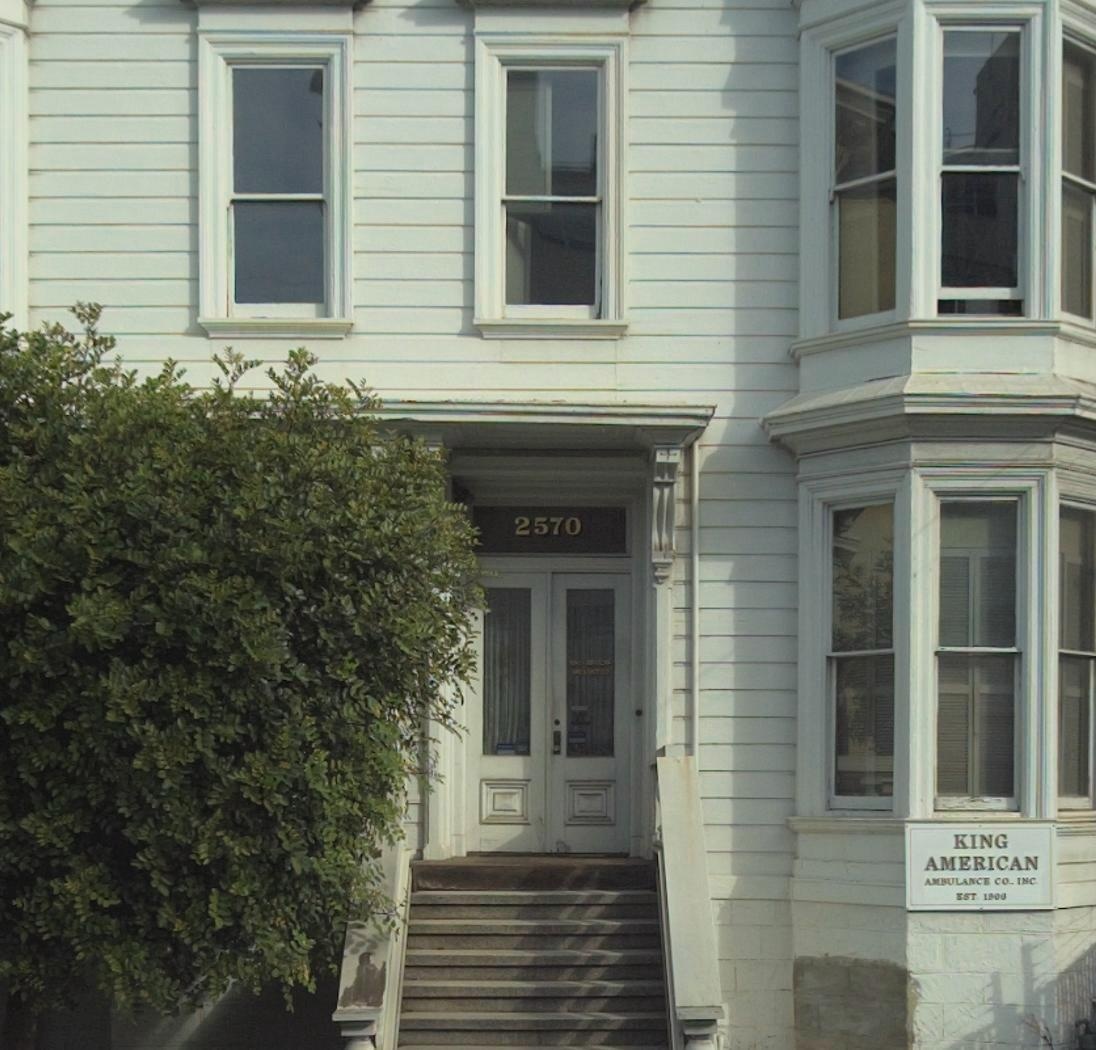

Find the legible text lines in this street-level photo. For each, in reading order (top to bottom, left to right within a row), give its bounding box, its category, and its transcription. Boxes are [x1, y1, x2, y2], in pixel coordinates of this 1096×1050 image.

[512, 513, 584, 540] StreetNumber: 2570
[949, 830, 1010, 851] BusinessName: KING
[921, 852, 1041, 874] BusinessName: AMERICAN
[916, 872, 1040, 889] BusinessName: AMBULANCE CO. INC
[953, 890, 1010, 903] None: EST. 19**